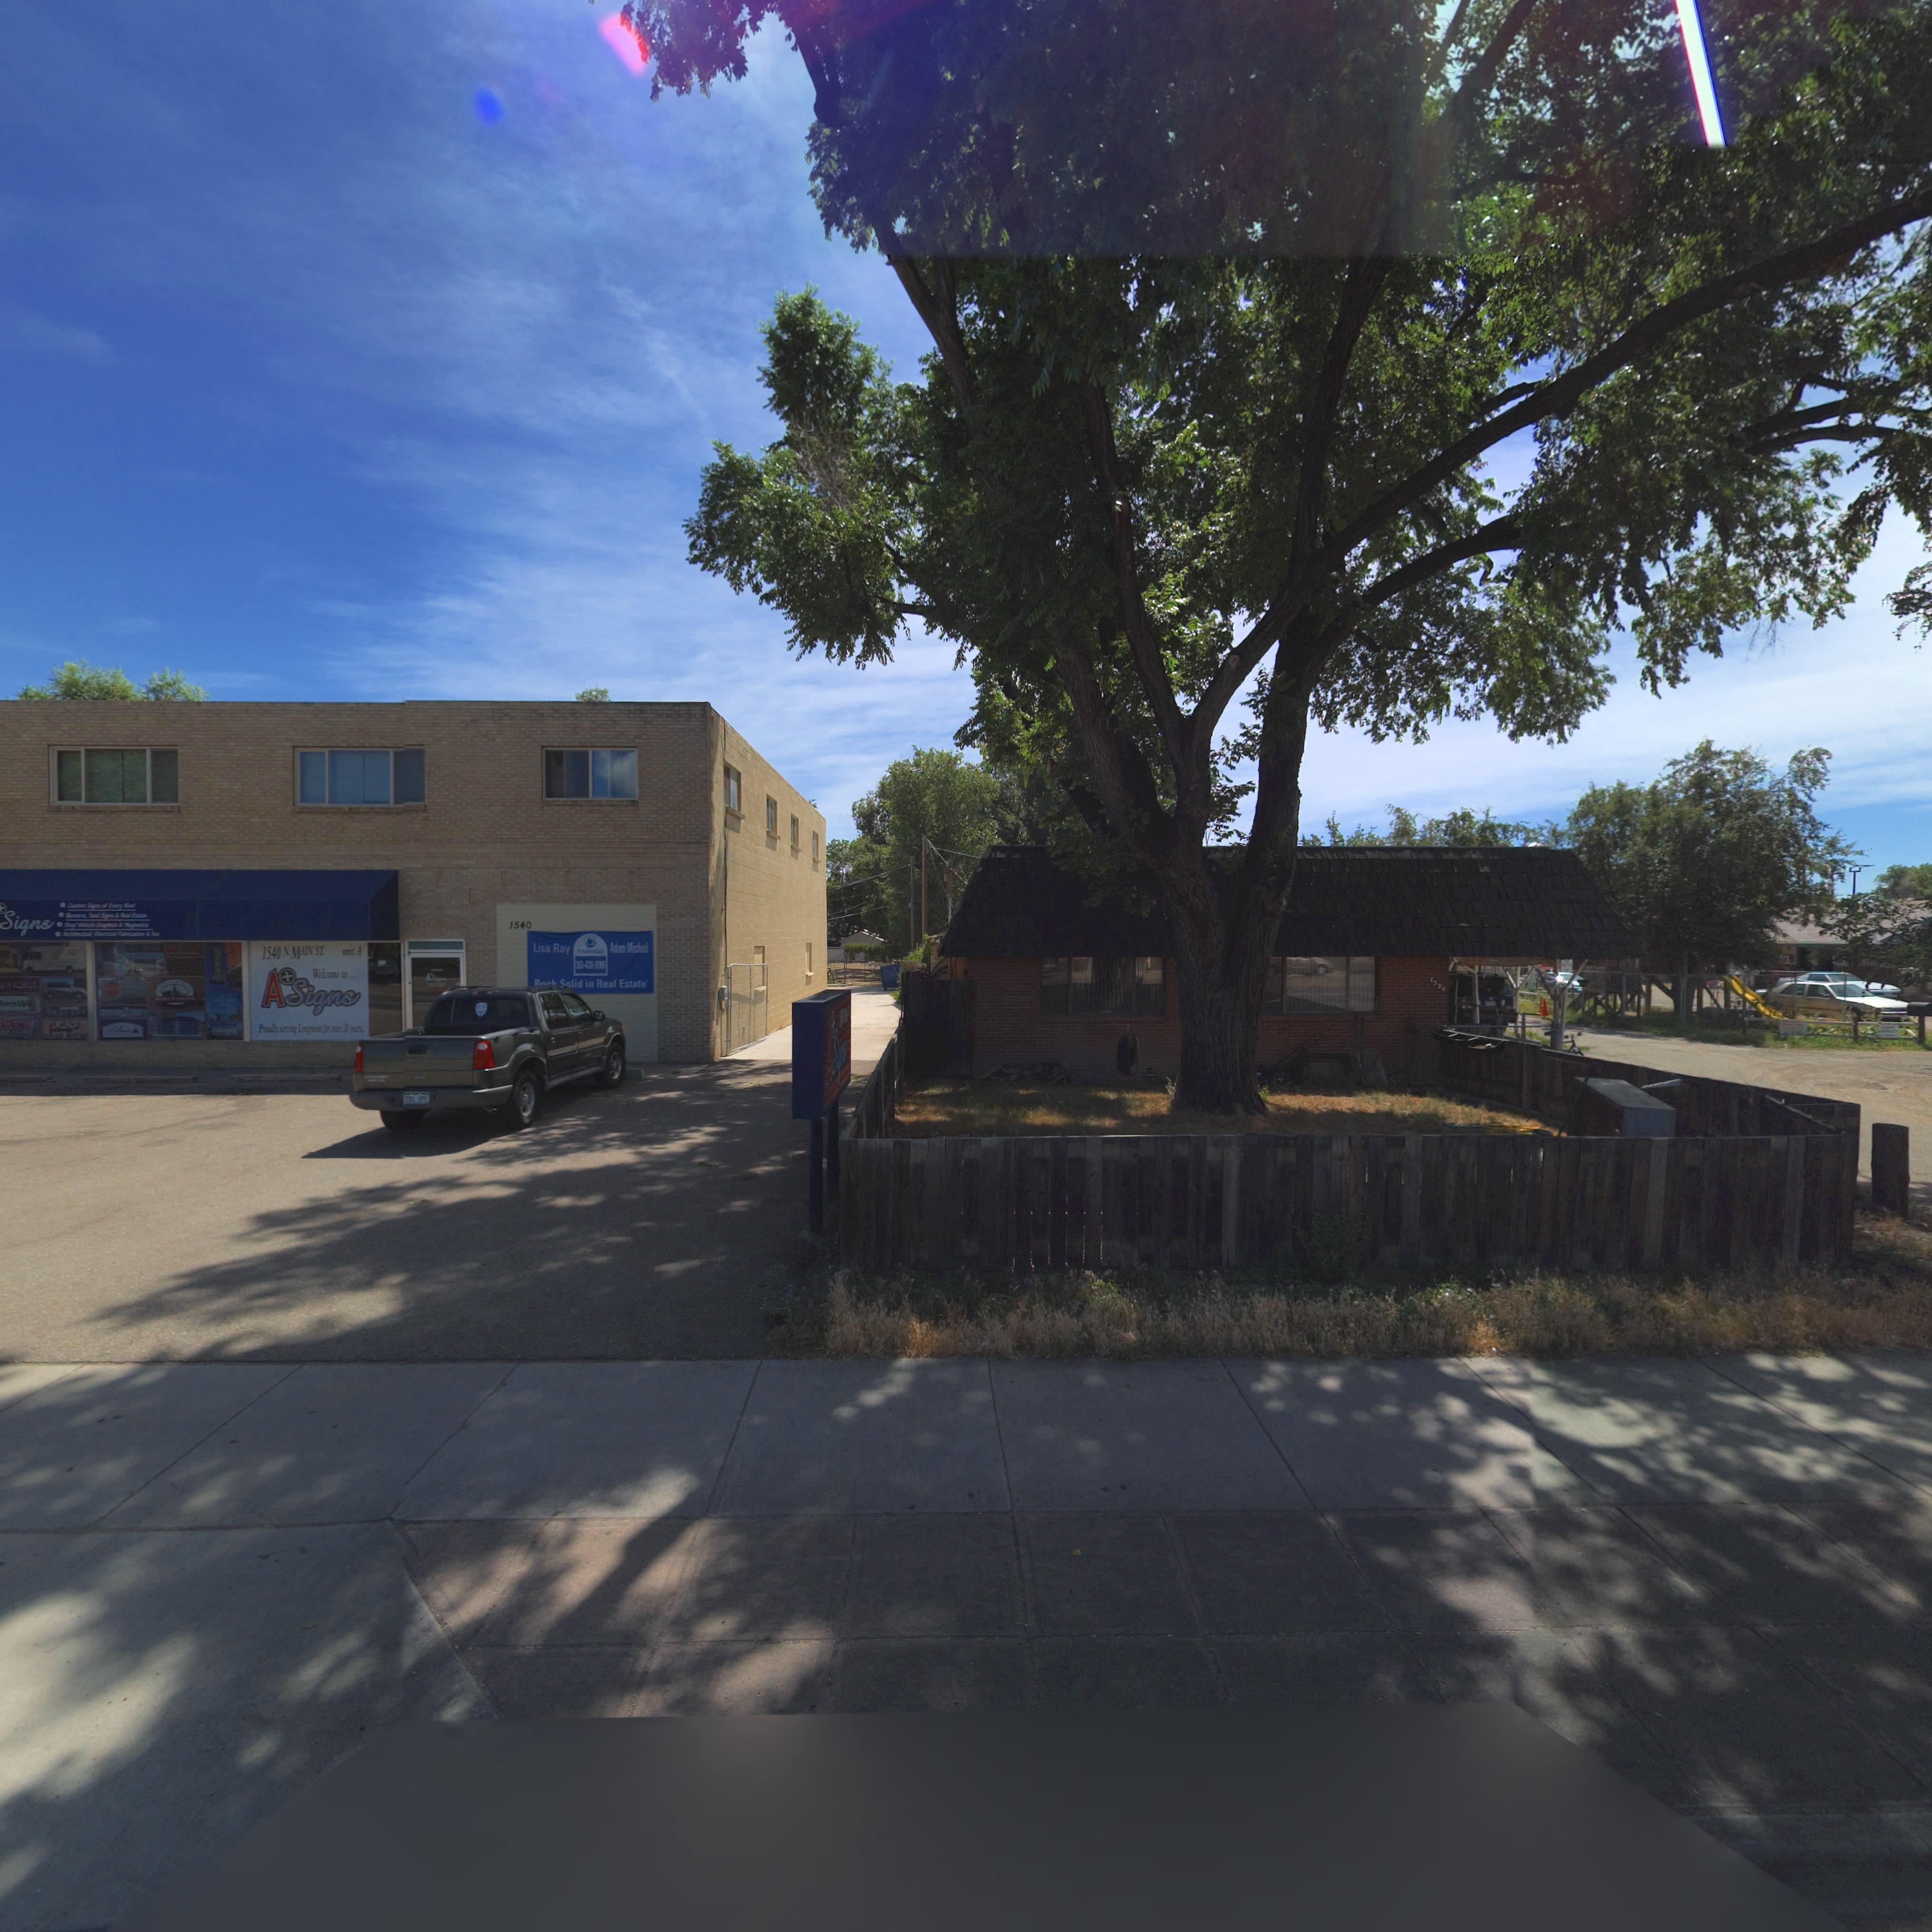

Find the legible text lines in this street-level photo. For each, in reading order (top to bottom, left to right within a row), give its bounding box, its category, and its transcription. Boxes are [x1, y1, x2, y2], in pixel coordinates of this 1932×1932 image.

[0, 909, 56, 937] BusinessName: Signs
[509, 920, 532, 929] StreetNumber: 1540
[261, 946, 282, 959] StreetNumber: 1540
[282, 945, 326, 959] StreetName: N MAIN ST
[341, 945, 362, 956] SecondaryUnitDesignator: **i* A
[576, 947, 604, 954] BusinessName: Prudential
[260, 966, 362, 1016] BusinessName: ASigns
[425, 973, 446, 983] BusinessName: A*****
[1430, 976, 1446, 992] StreetNumber: 1524
[825, 1014, 848, 1086] BusinessName: AS****